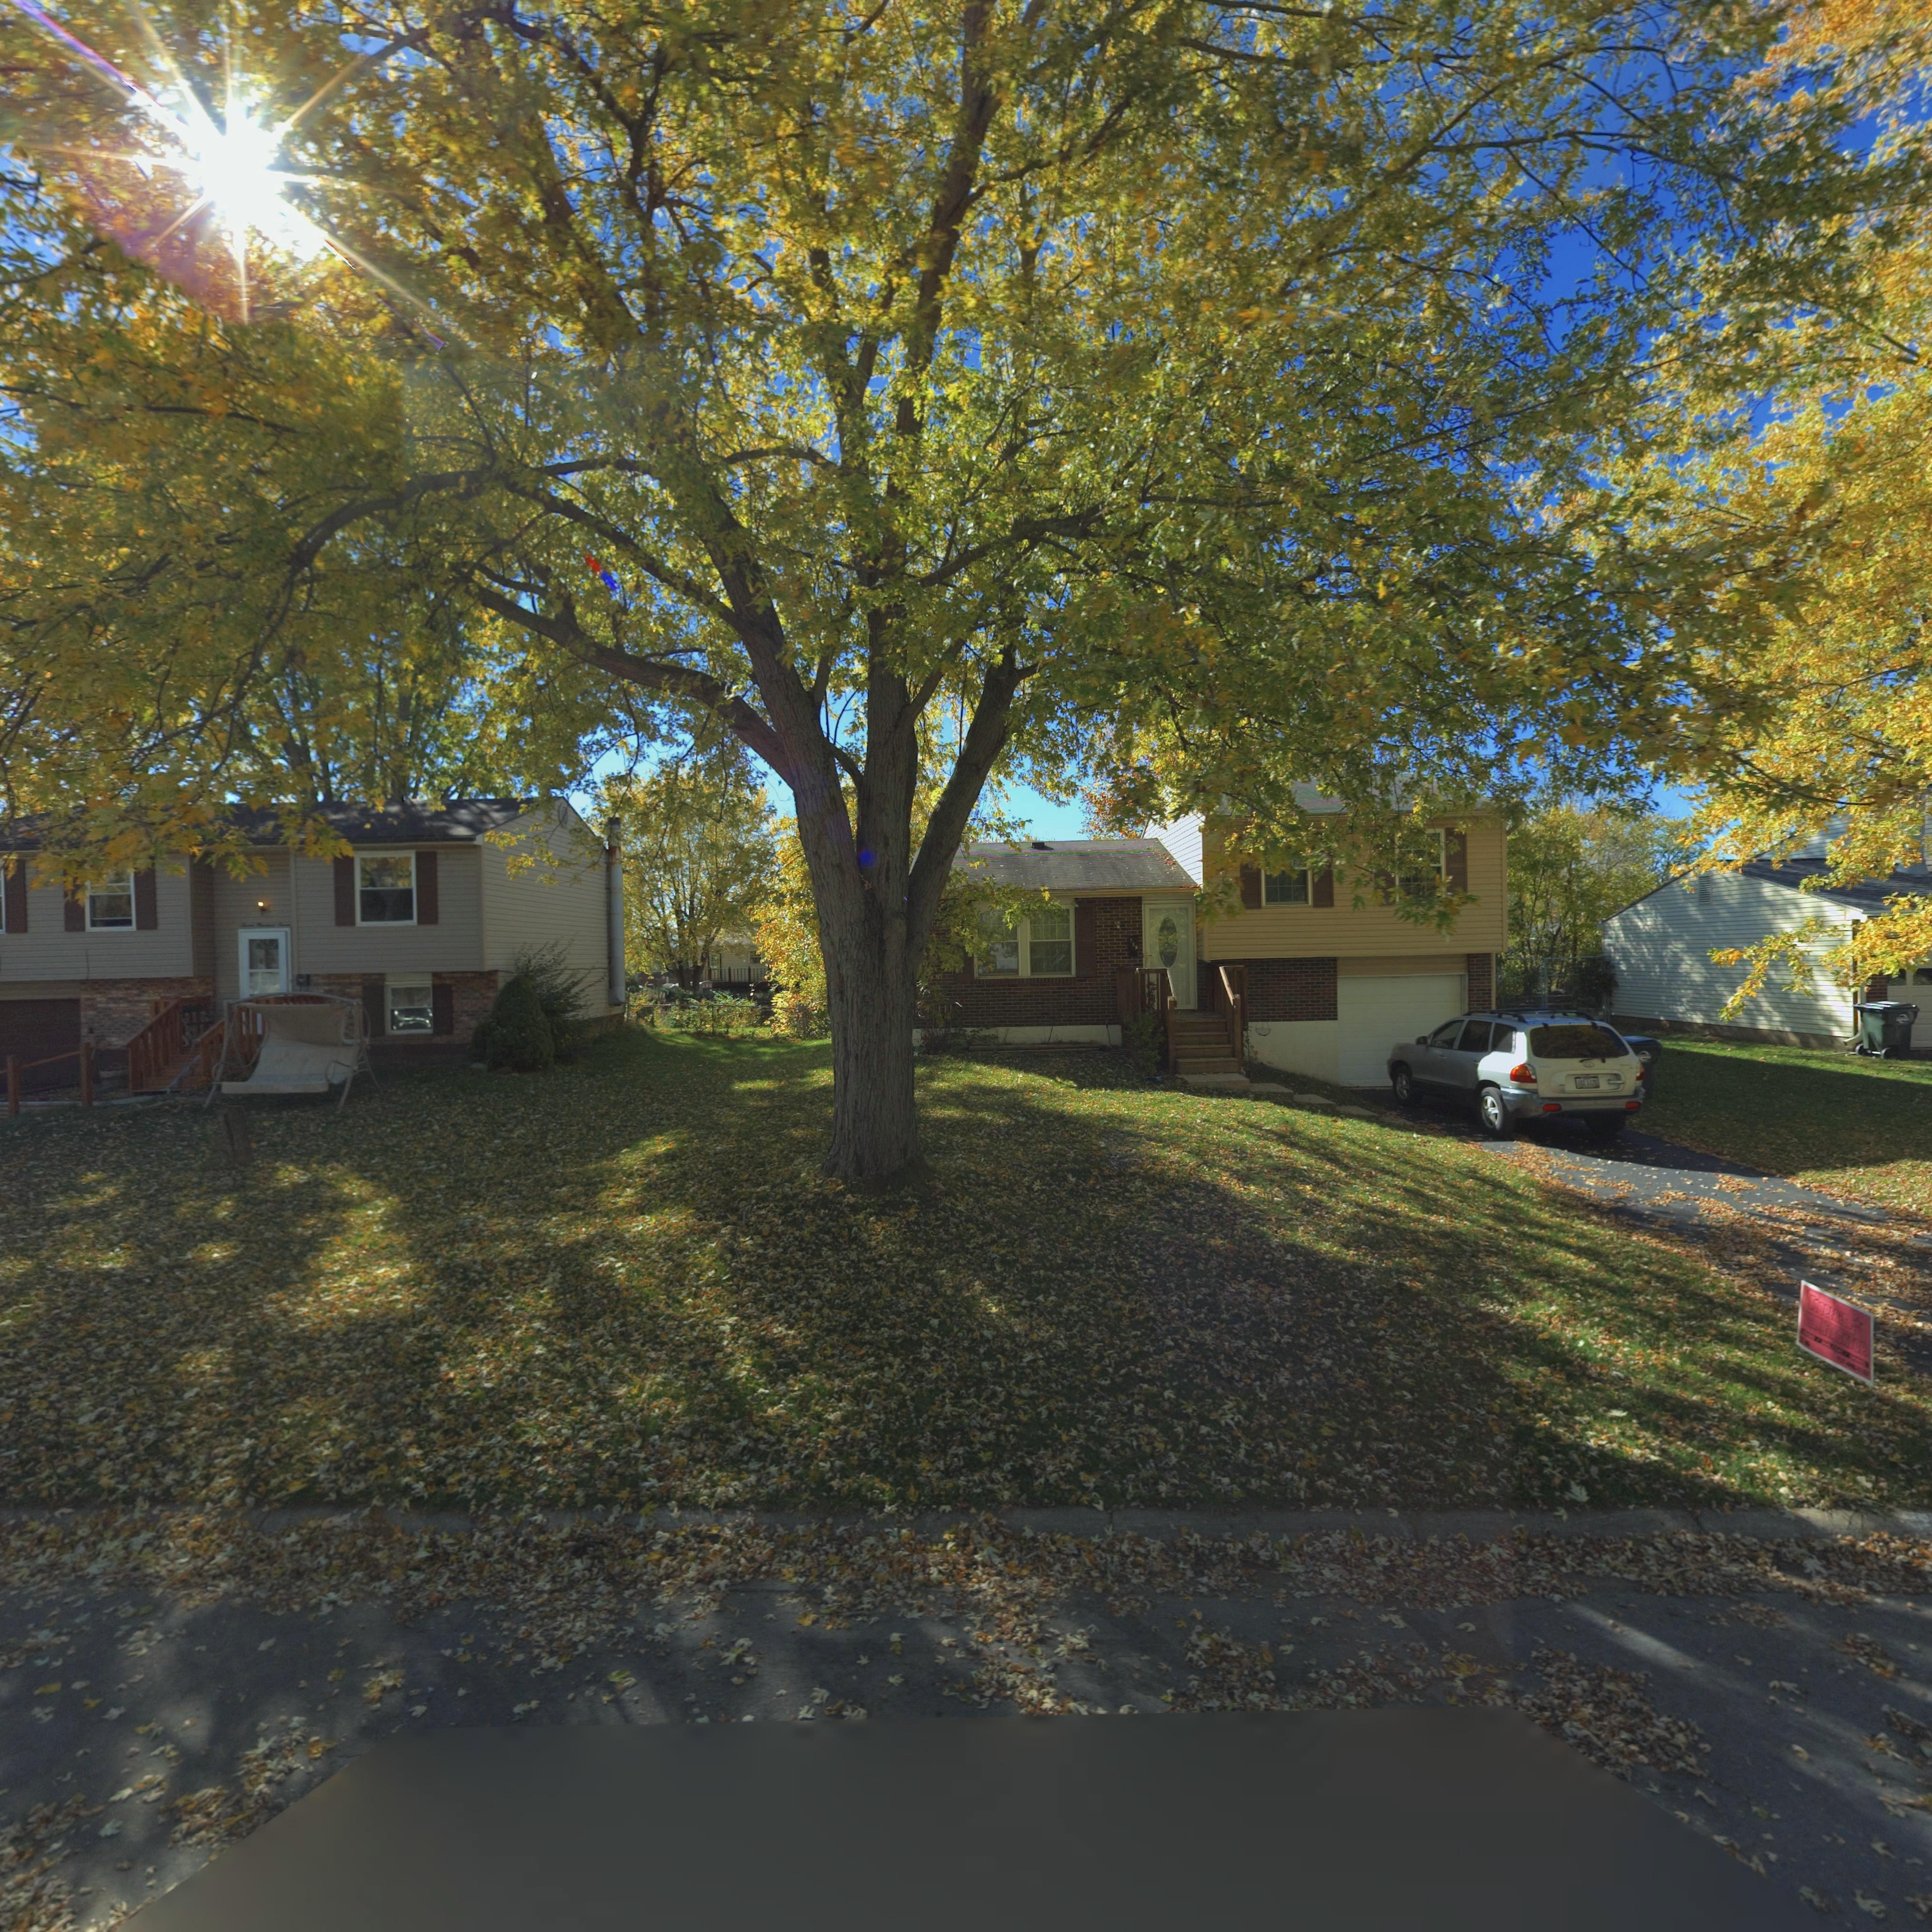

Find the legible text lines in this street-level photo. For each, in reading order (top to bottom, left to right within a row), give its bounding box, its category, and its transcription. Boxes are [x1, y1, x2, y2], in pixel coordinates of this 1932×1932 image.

[1129, 937, 1138, 950] StreetNumber: 709